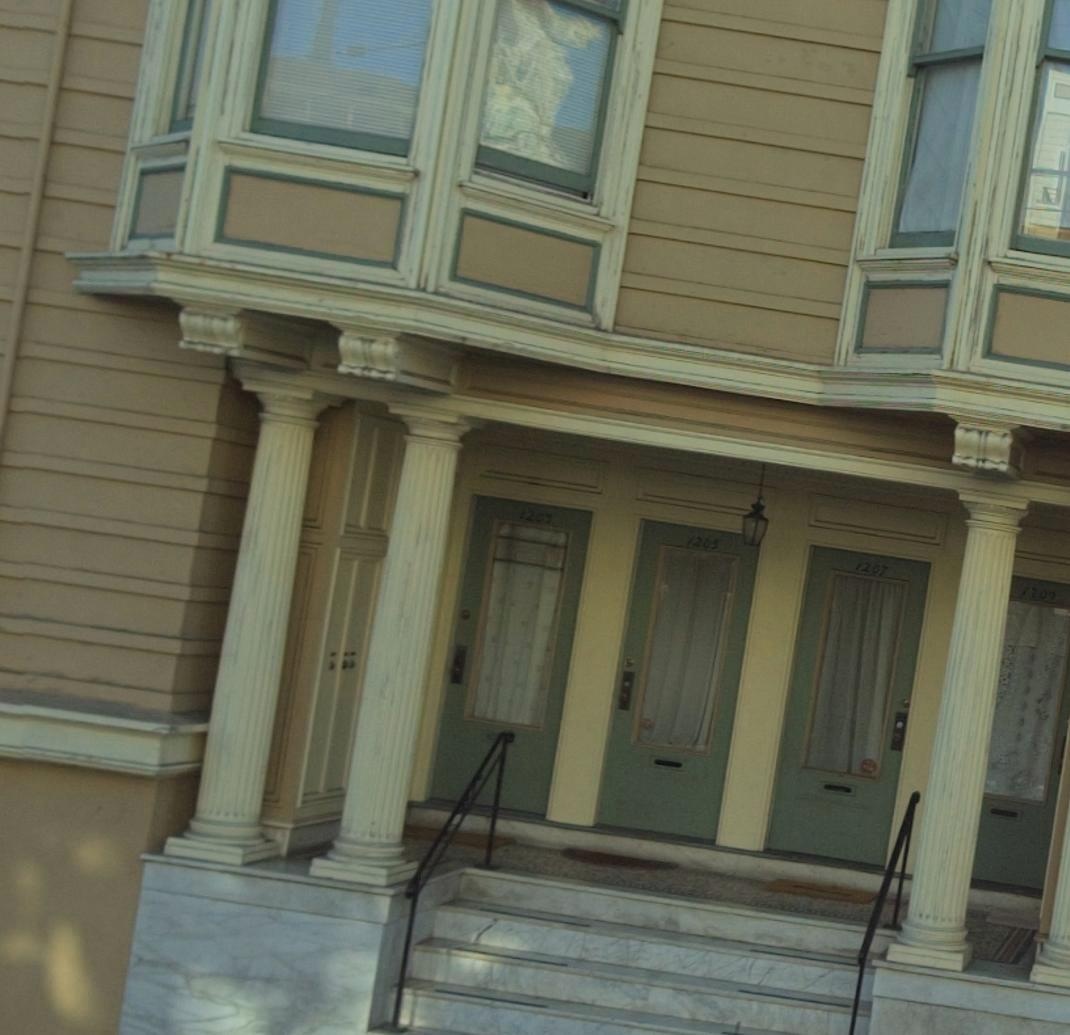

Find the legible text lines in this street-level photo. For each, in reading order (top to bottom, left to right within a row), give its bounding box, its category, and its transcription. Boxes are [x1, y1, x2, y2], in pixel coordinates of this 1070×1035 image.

[516, 507, 554, 527] StreetNumber: 1203
[683, 534, 722, 550] StreetNumber: 1205
[853, 559, 892, 578] StreetNumber: 1207
[1018, 584, 1058, 604] StreetNumber: 1209